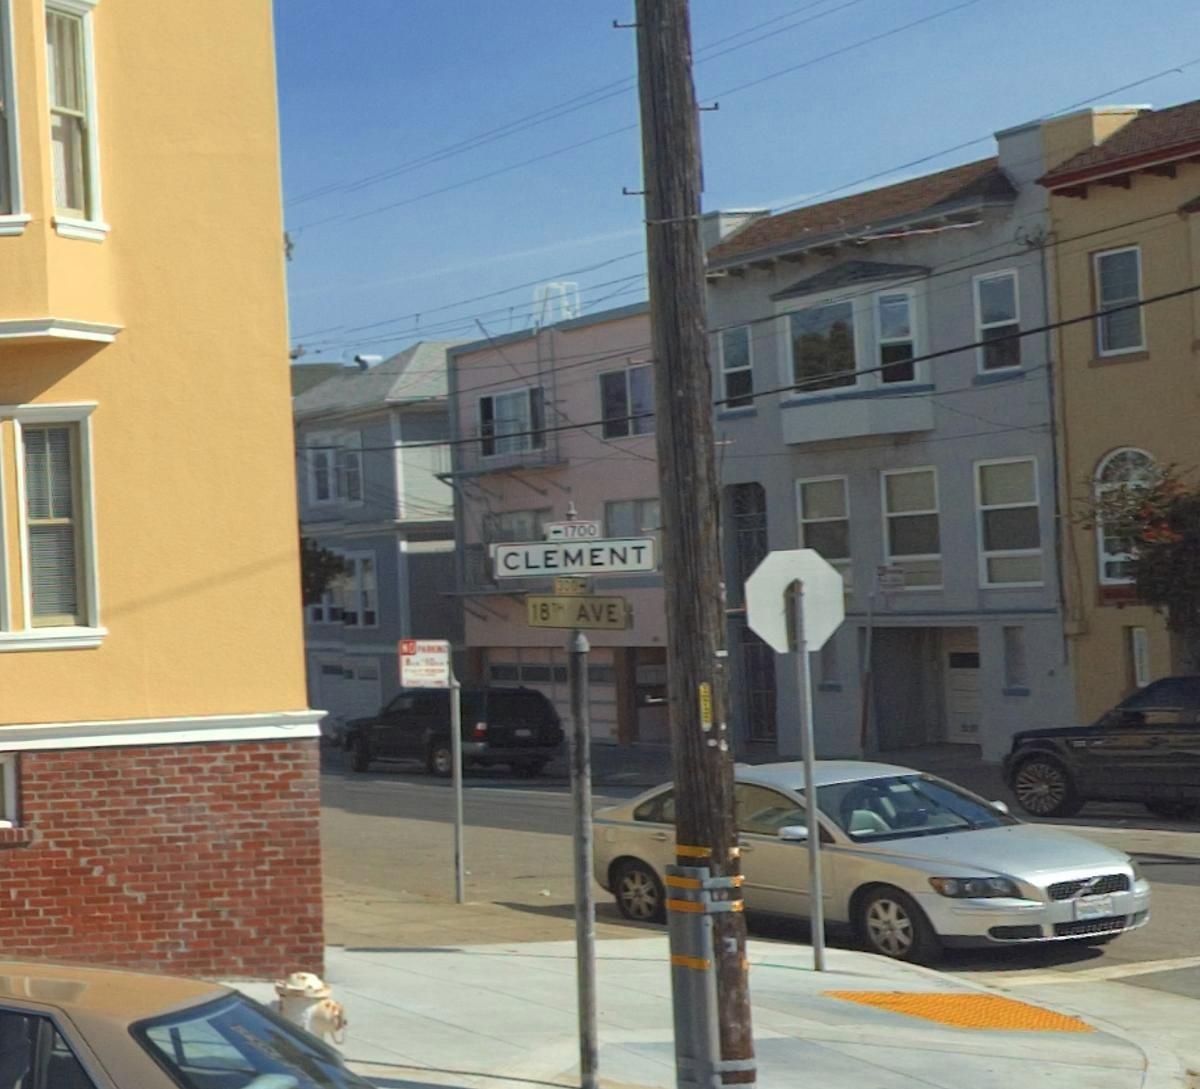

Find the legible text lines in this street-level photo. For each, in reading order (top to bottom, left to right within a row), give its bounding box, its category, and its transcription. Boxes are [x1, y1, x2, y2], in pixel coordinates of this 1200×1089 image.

[548, 520, 598, 539] StreetNumberRange: <-1700
[500, 541, 651, 572] StreetName: CLEMENT
[555, 577, 589, 594] StreetNumberRange: 300->
[530, 599, 619, 625] StreetName: 18TH AVE